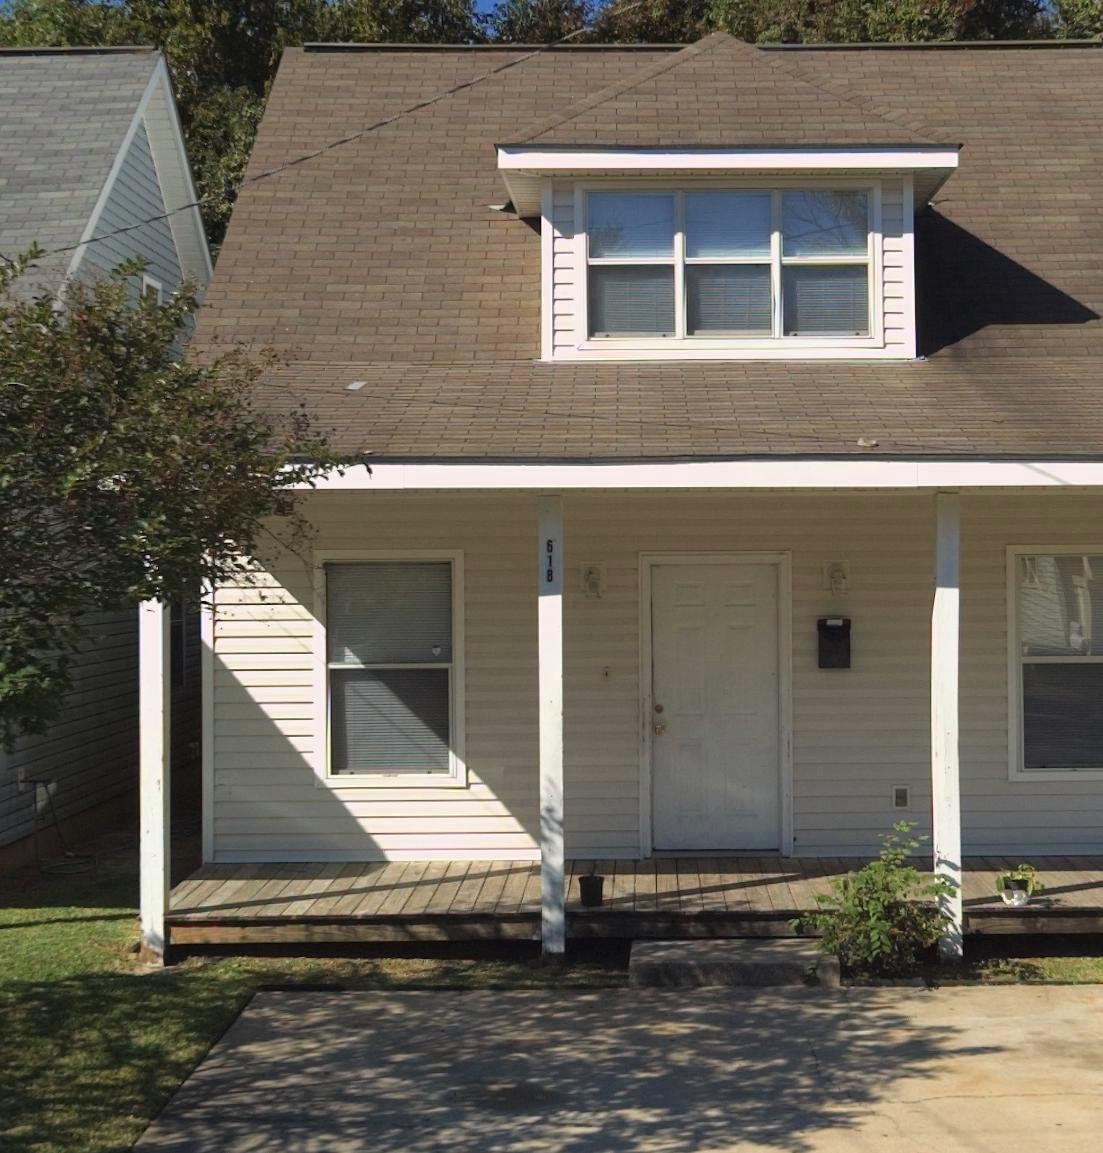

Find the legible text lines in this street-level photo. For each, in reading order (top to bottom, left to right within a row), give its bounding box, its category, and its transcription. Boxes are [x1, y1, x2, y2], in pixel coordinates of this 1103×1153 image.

[544, 537, 556, 584] StreetNumber: 618